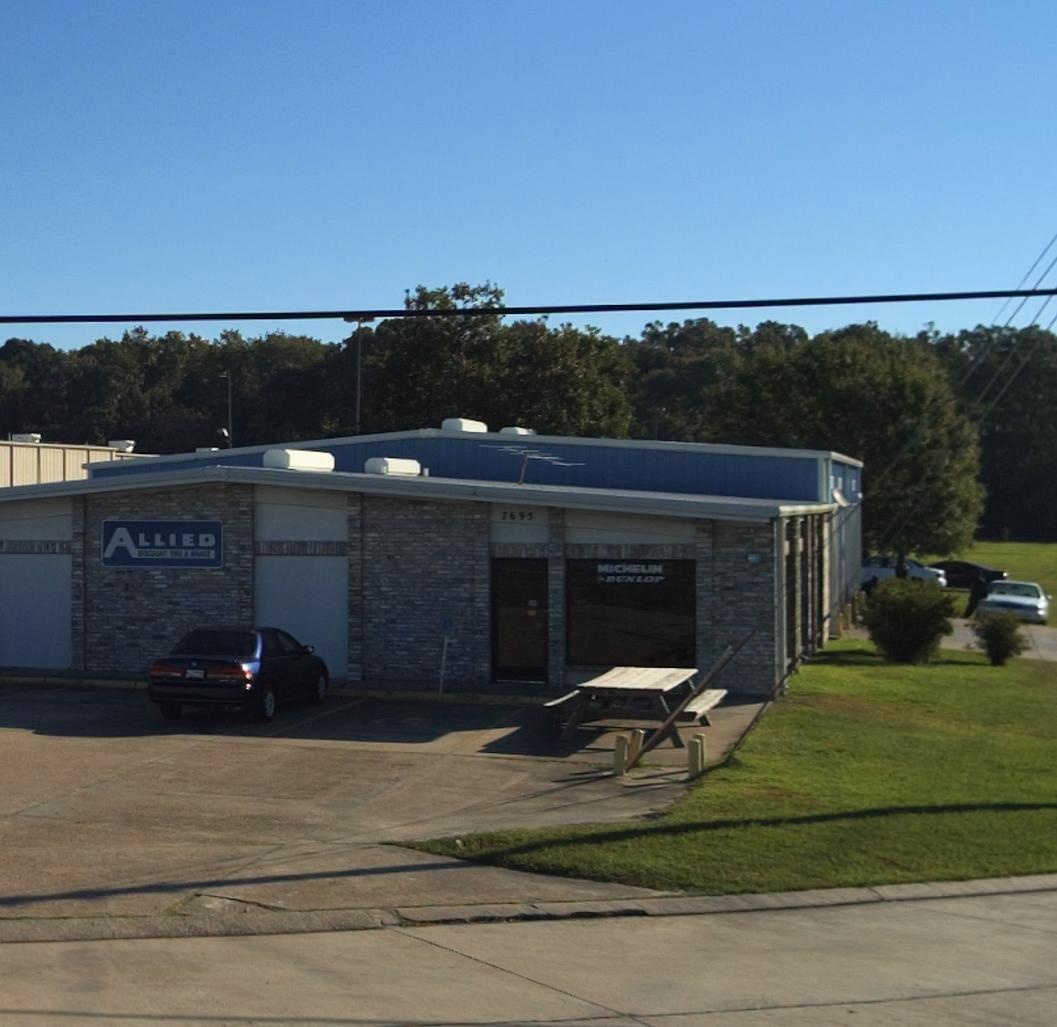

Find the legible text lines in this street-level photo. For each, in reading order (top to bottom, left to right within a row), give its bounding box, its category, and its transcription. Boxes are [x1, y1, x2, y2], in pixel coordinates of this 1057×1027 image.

[499, 509, 536, 523] StreetNumber: 7695
[101, 525, 219, 561] BusinessName: ALLIED
[595, 561, 666, 575] None: MICHELIN
[602, 573, 668, 586] None: DUNLOP